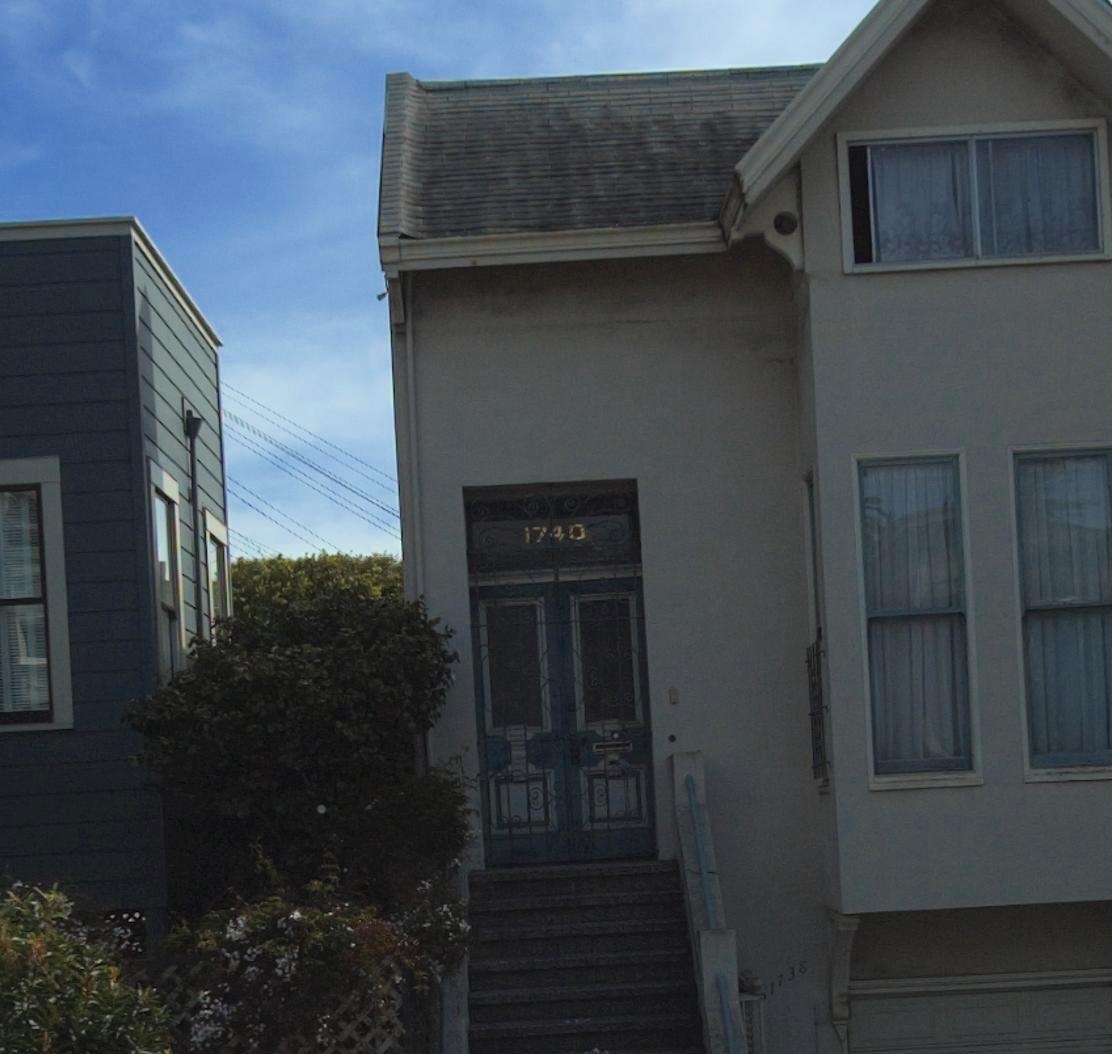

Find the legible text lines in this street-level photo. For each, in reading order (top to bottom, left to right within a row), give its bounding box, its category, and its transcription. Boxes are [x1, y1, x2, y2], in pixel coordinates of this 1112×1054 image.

[523, 521, 588, 546] StreetNumber: 1740